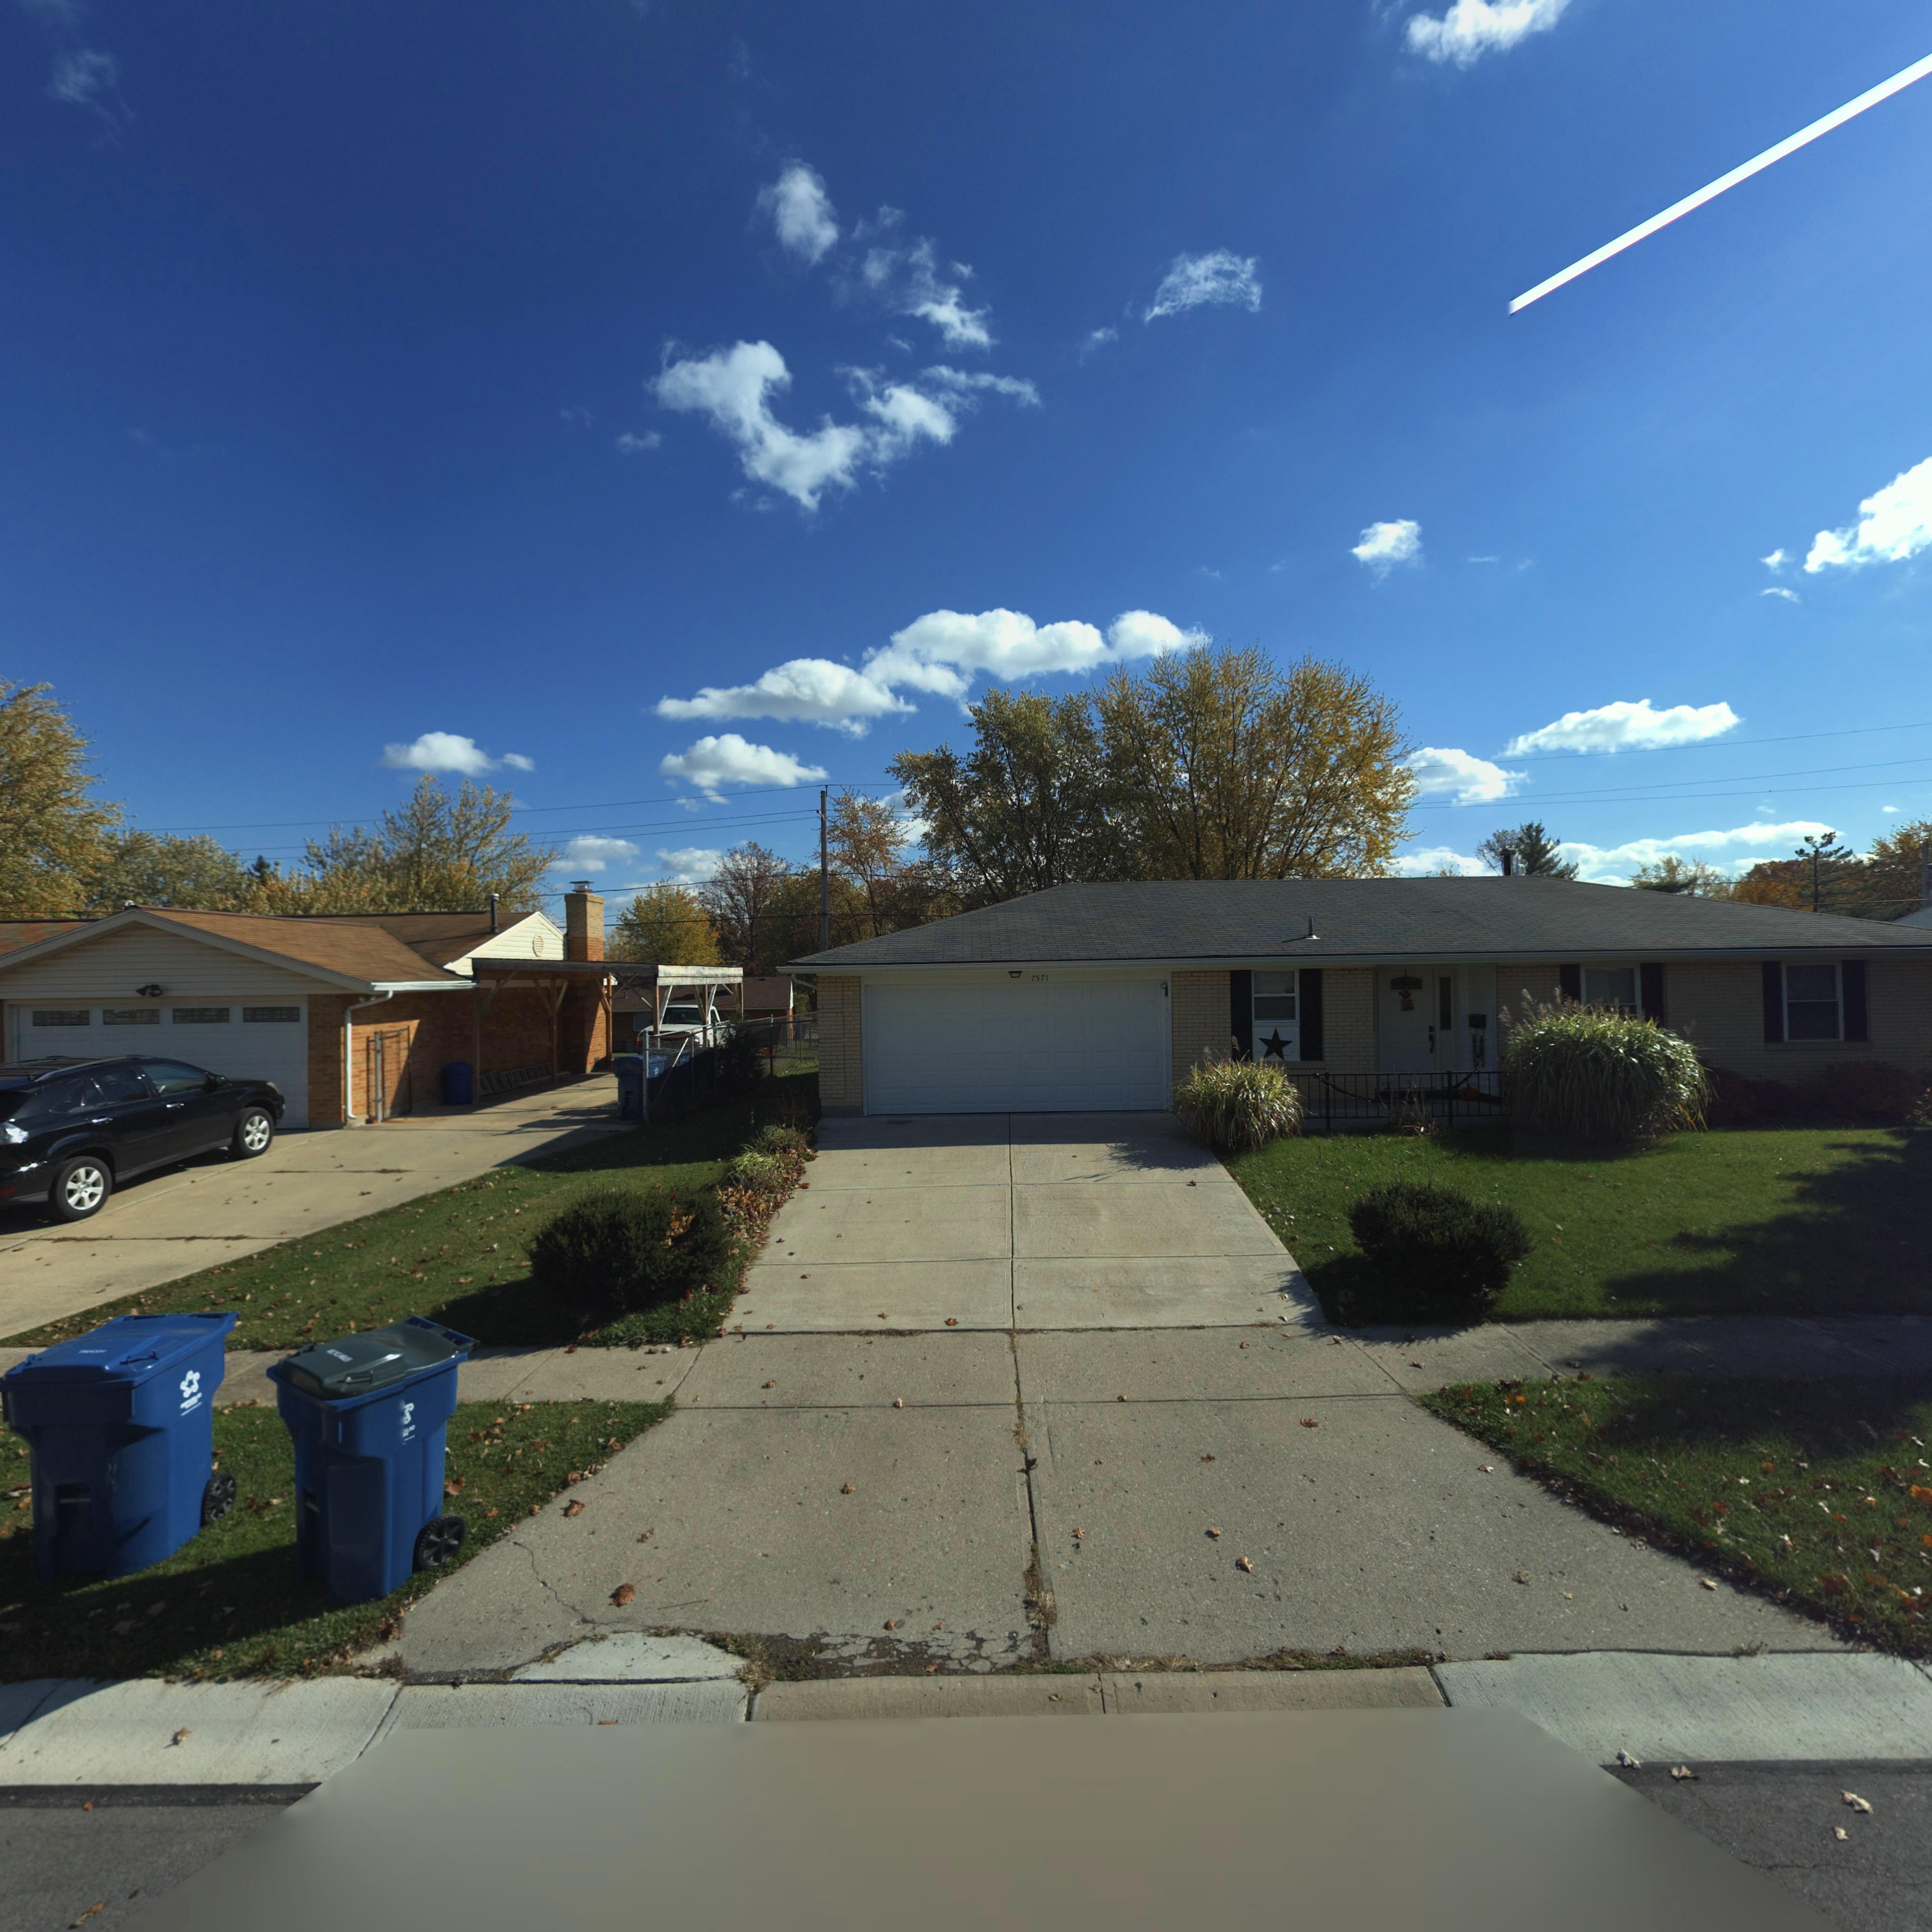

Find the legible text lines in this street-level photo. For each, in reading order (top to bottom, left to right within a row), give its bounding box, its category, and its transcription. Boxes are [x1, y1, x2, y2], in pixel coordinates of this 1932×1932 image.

[1030, 973, 1049, 983] StreetNumber: 7571